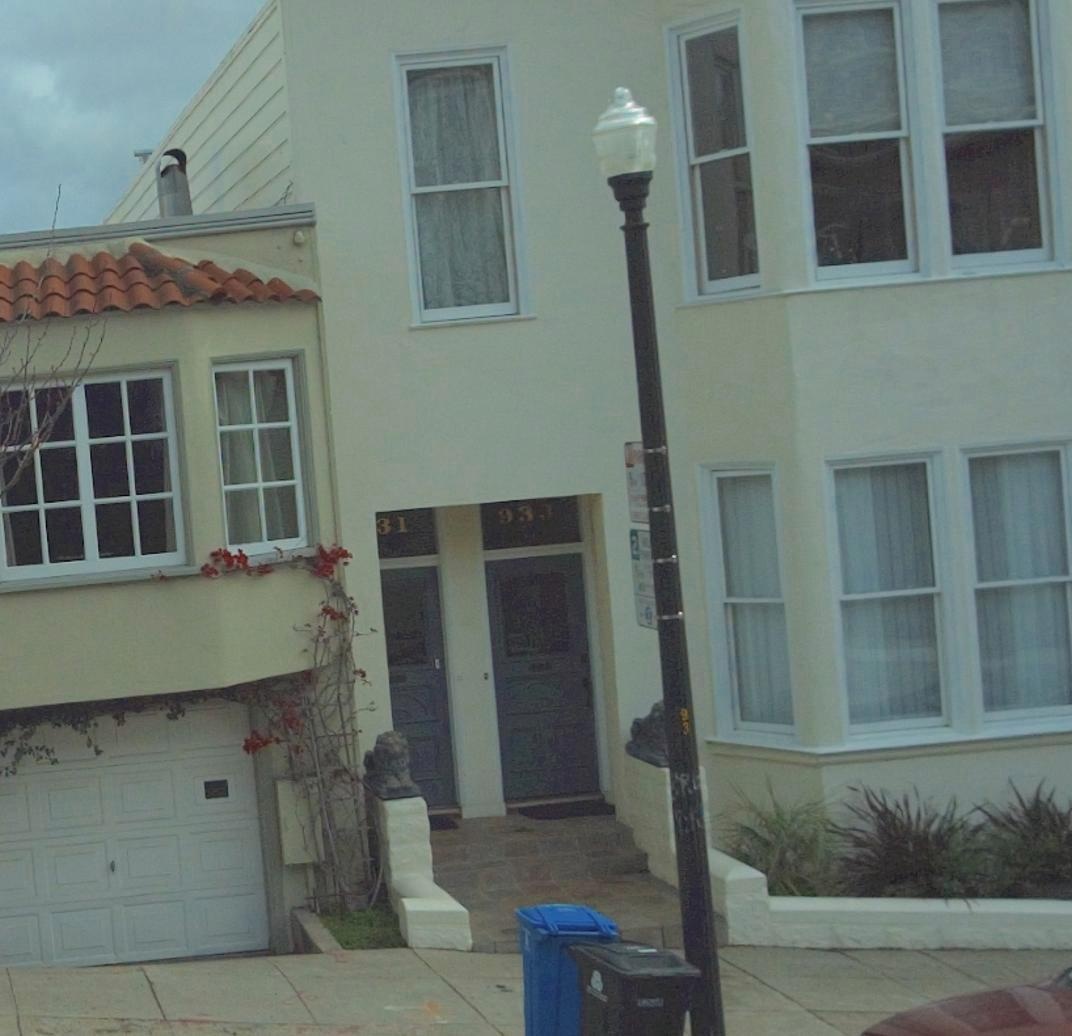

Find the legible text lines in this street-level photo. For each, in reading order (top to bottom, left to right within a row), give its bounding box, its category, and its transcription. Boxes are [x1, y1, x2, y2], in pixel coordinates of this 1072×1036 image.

[362, 511, 411, 538] StreetNumber: *31
[496, 500, 558, 527] StreetNumber: 933
[630, 533, 640, 557] None: 2
[679, 706, 690, 723] None: 9
[680, 720, 689, 736] None: 3